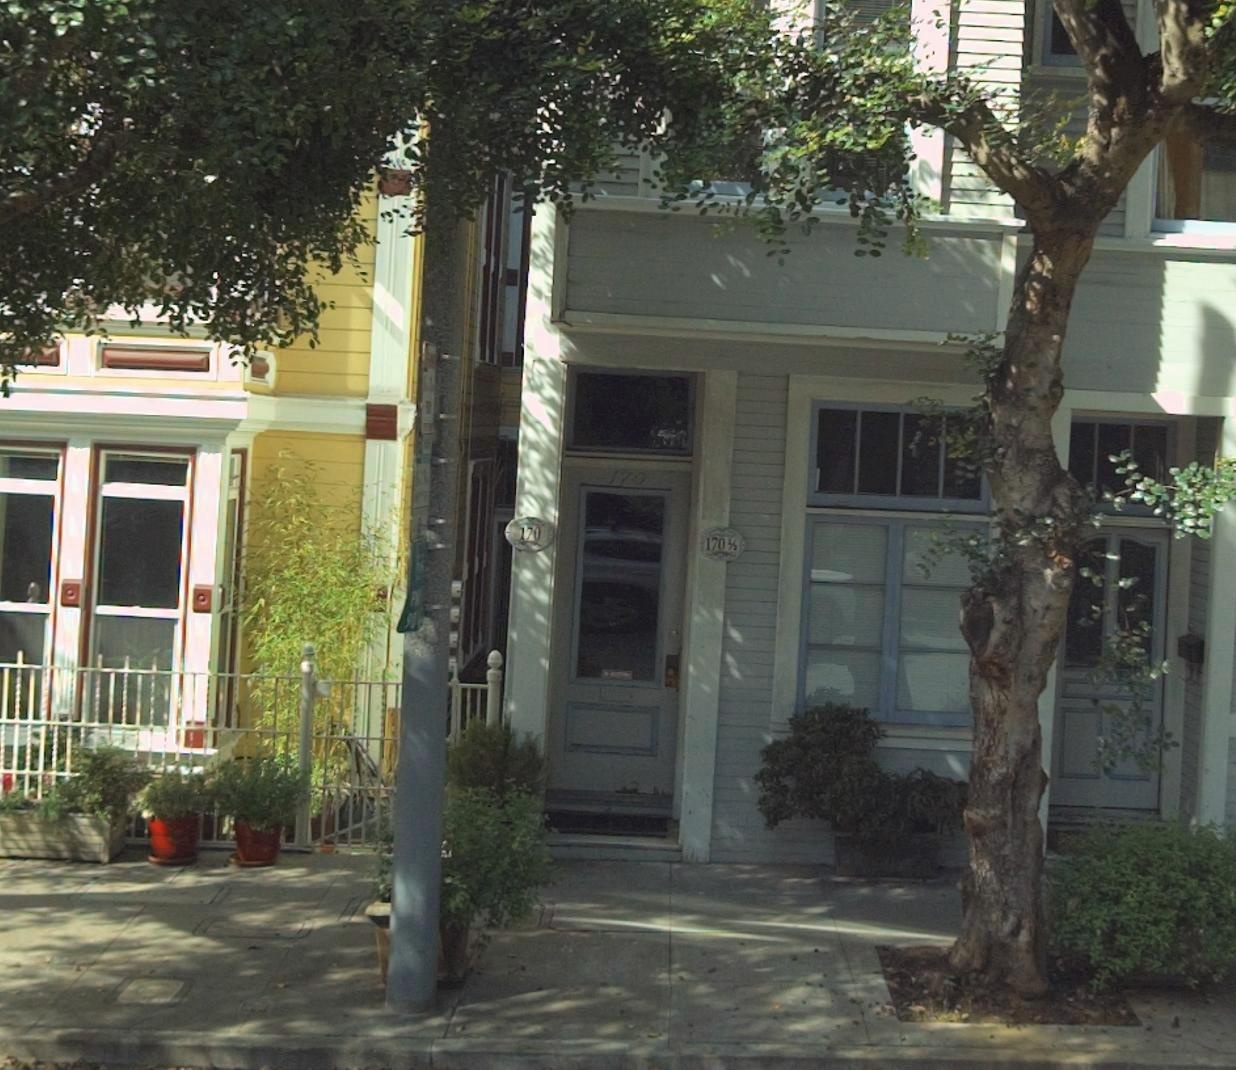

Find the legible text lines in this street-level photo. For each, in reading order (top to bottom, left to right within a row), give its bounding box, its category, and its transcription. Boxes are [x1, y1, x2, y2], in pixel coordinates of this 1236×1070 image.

[603, 469, 648, 487] StreetNumber: 170
[517, 525, 542, 542] StreetNumber: 170
[705, 535, 739, 551] StreetNumber: 170 1/2